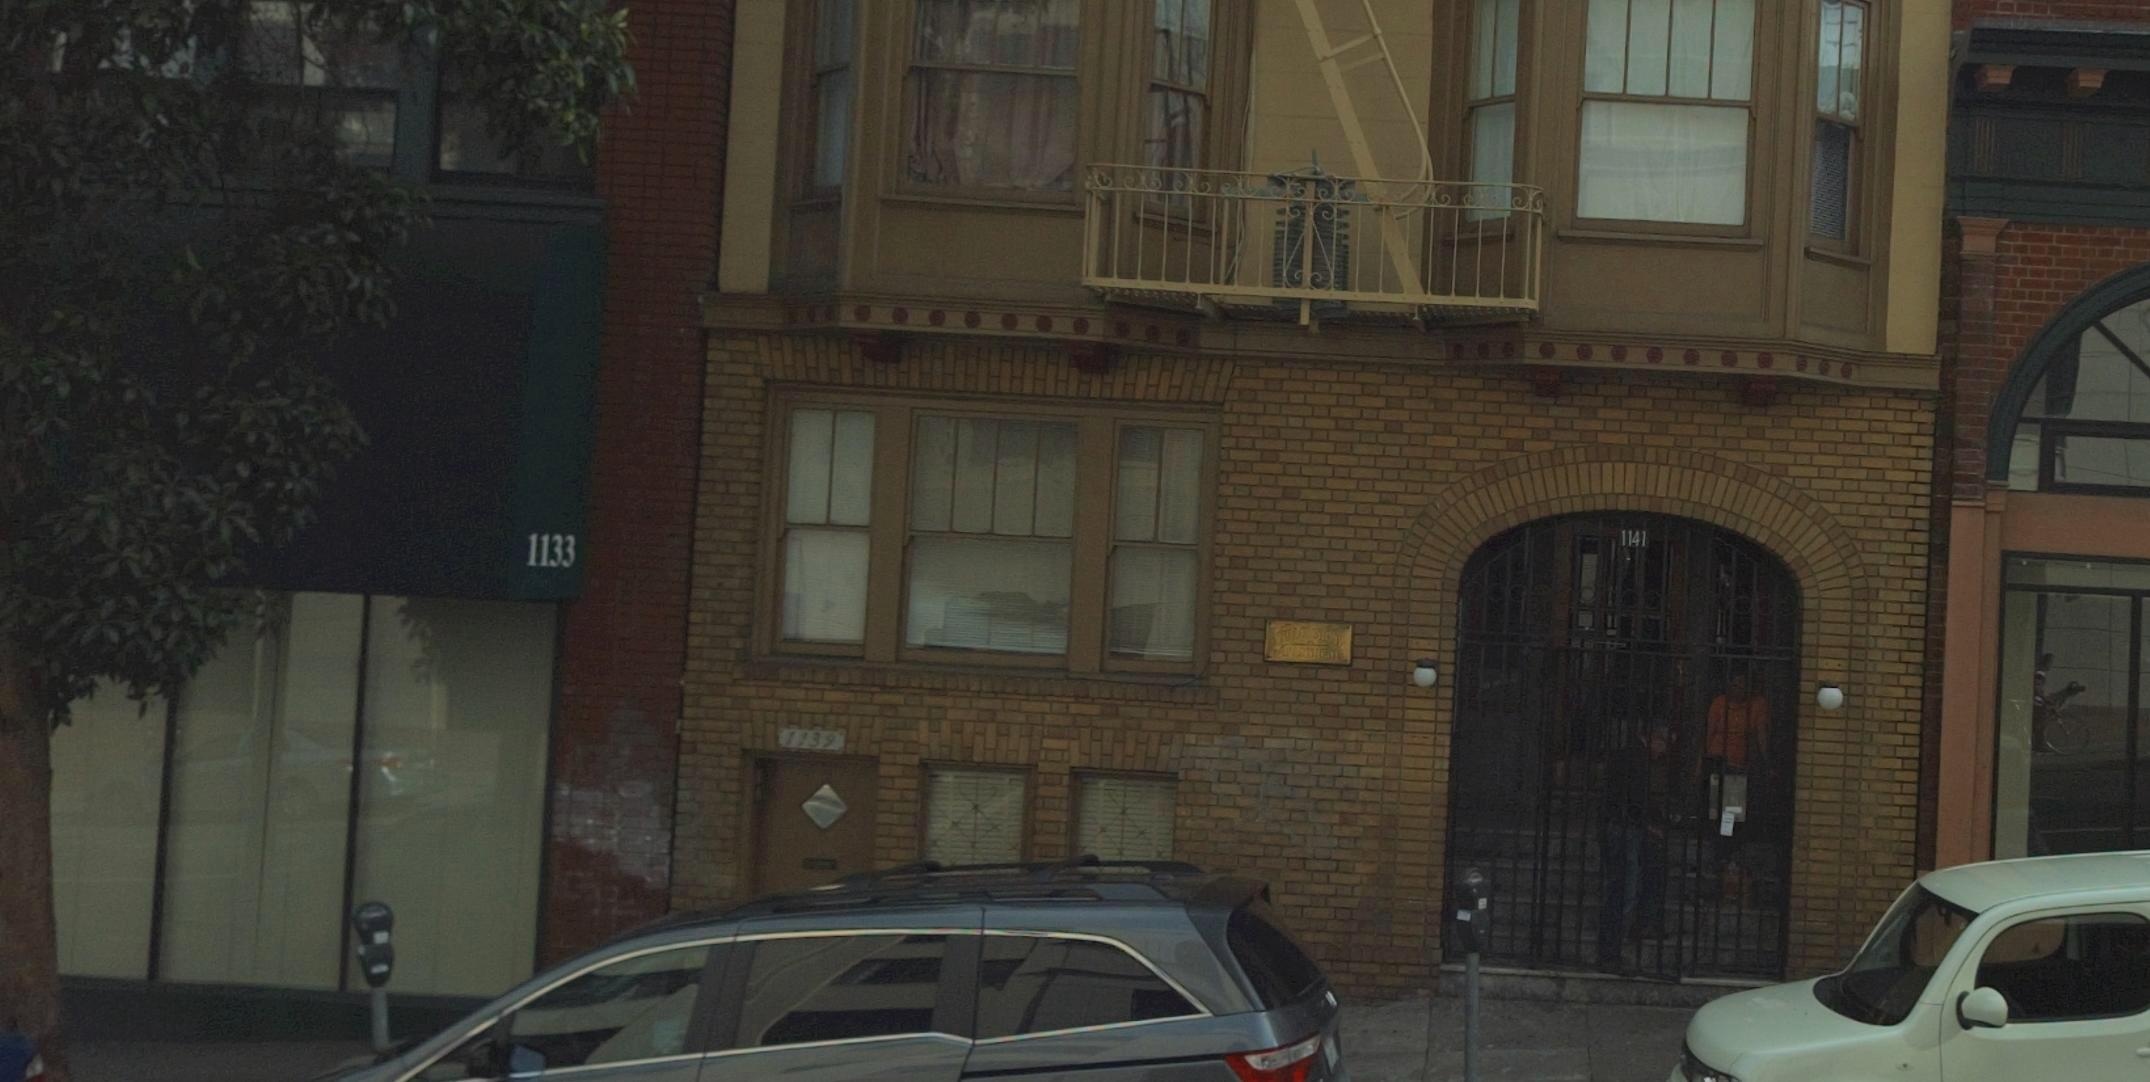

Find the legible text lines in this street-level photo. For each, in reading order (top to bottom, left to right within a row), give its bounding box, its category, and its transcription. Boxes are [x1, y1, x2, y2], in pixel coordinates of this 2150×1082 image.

[524, 529, 579, 571] StreetNumber: 1133
[1619, 527, 1648, 550] StreetNumber: 1141
[782, 729, 838, 750] StreetNumber: 1139